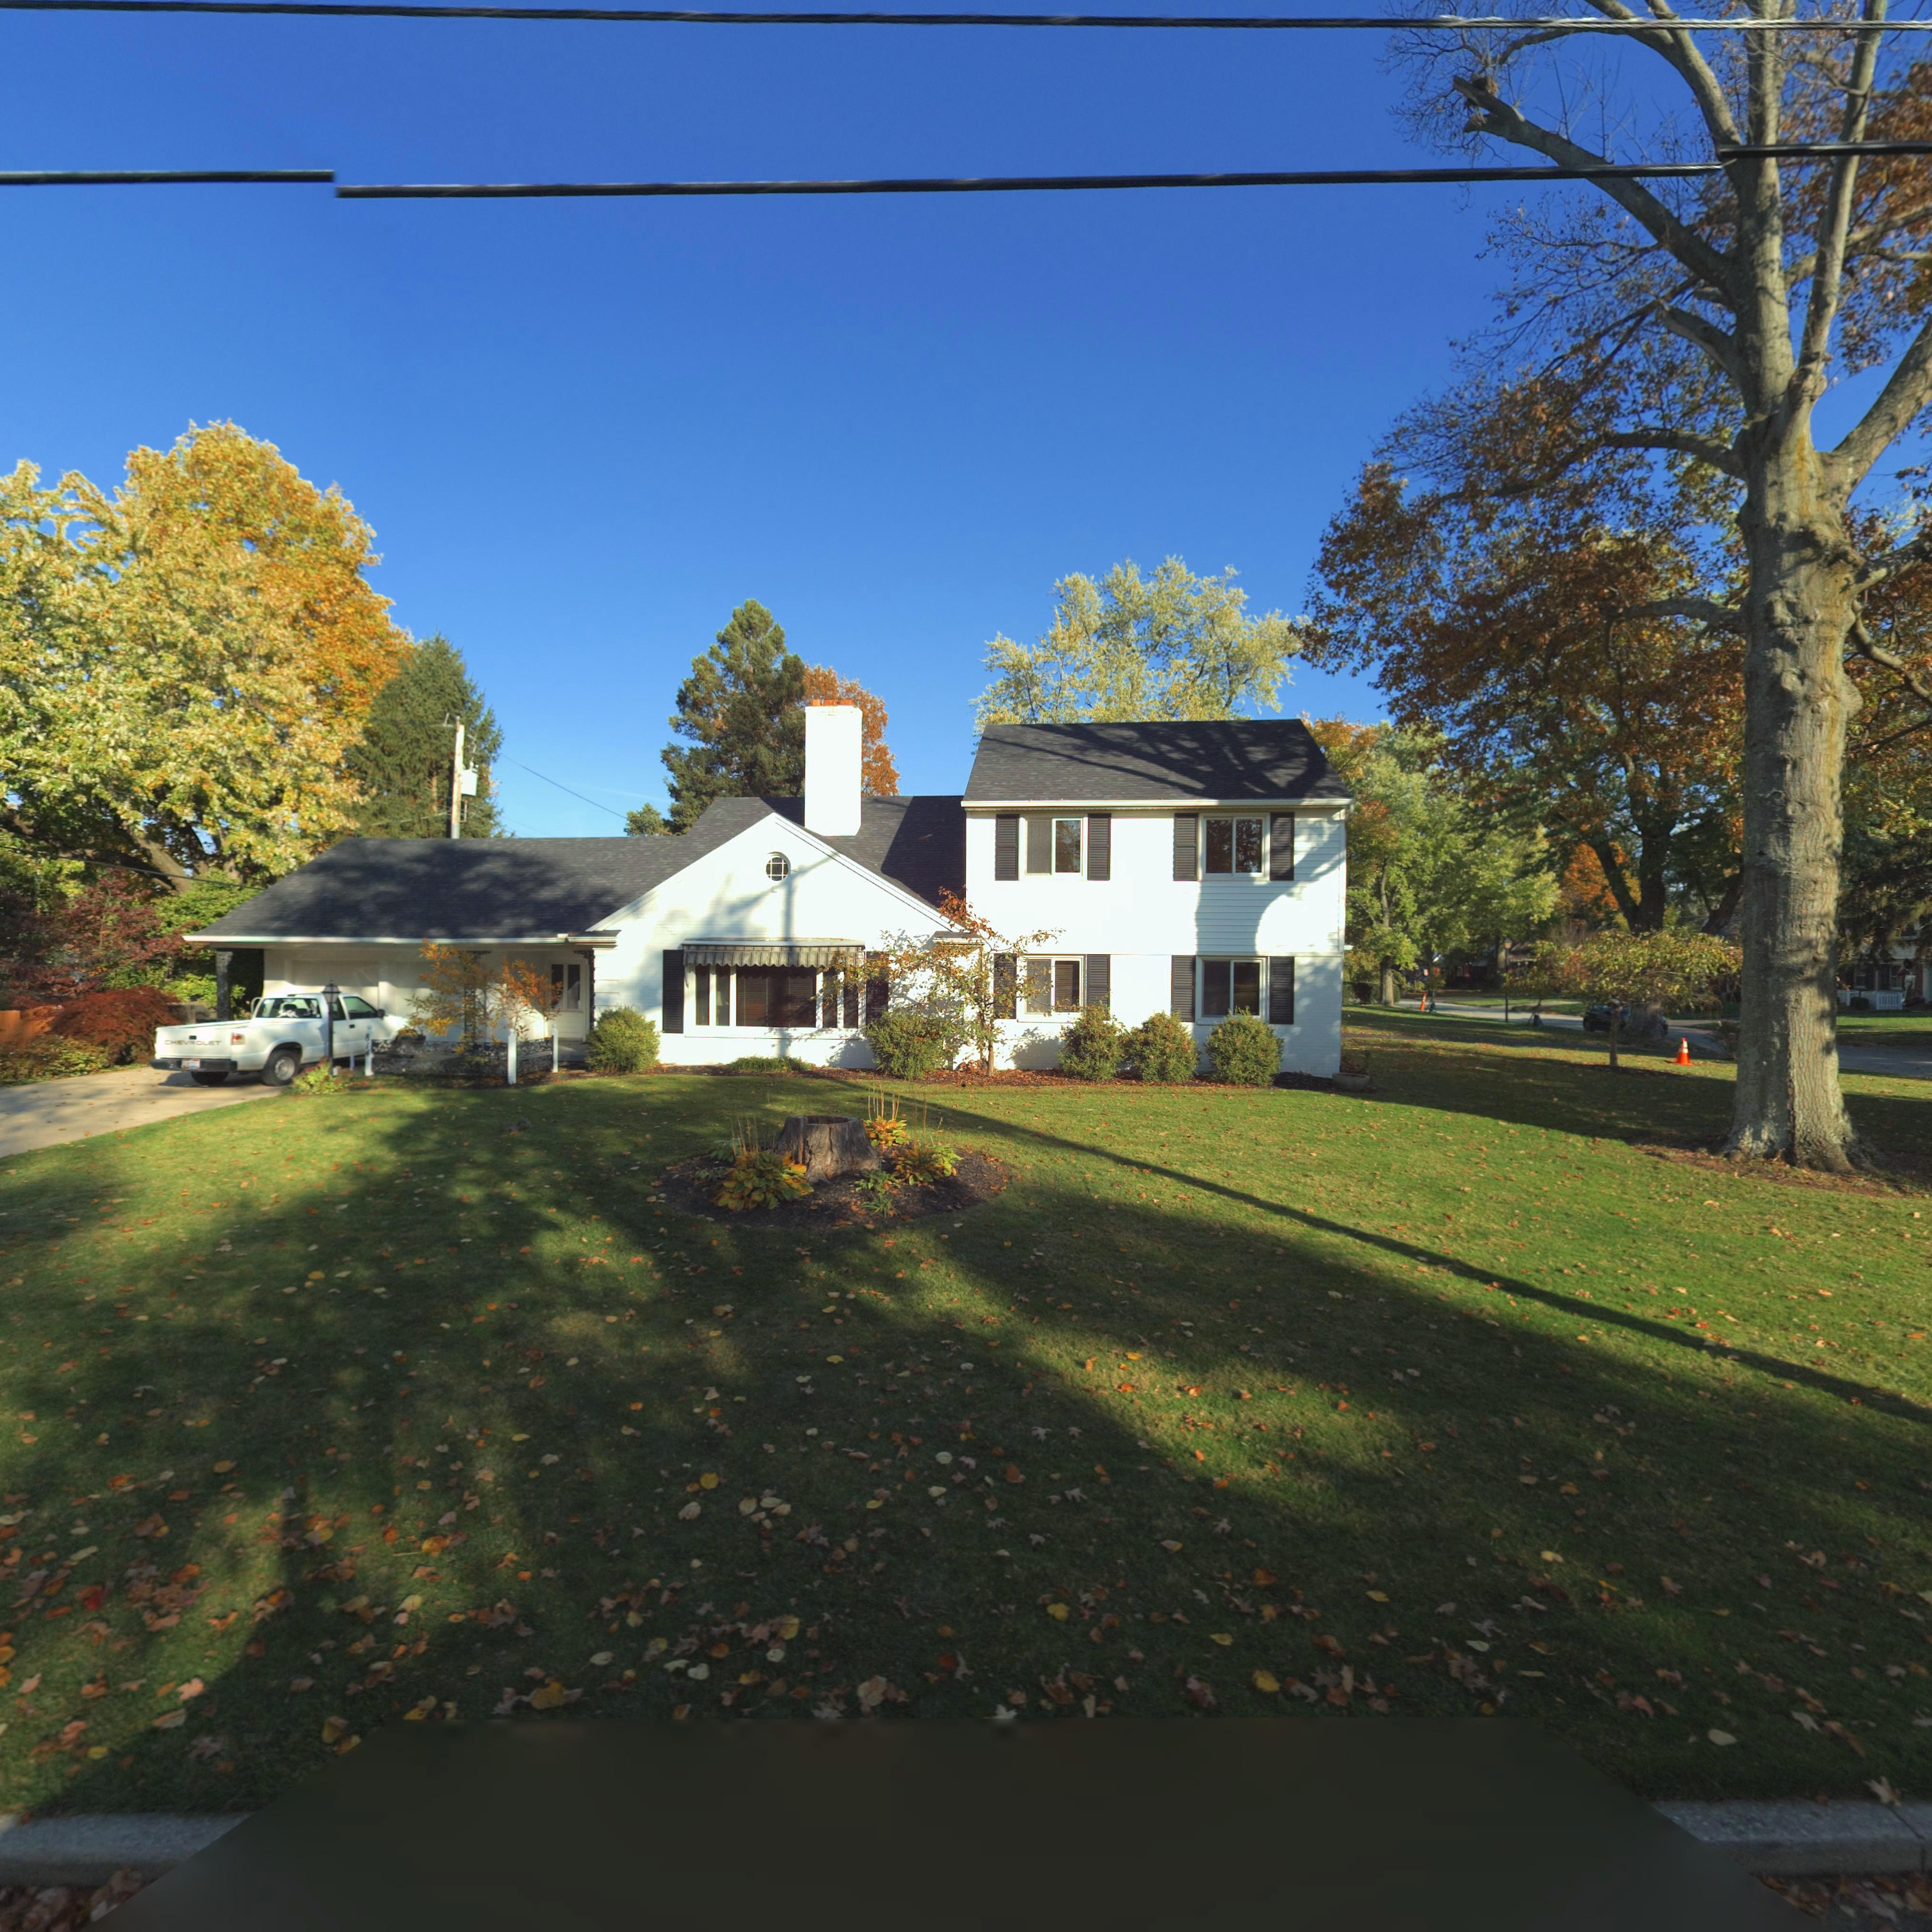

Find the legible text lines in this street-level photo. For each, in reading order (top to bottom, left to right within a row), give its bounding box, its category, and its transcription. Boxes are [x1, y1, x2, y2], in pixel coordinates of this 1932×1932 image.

[364, 1033, 370, 1057] StreetNumber: 814